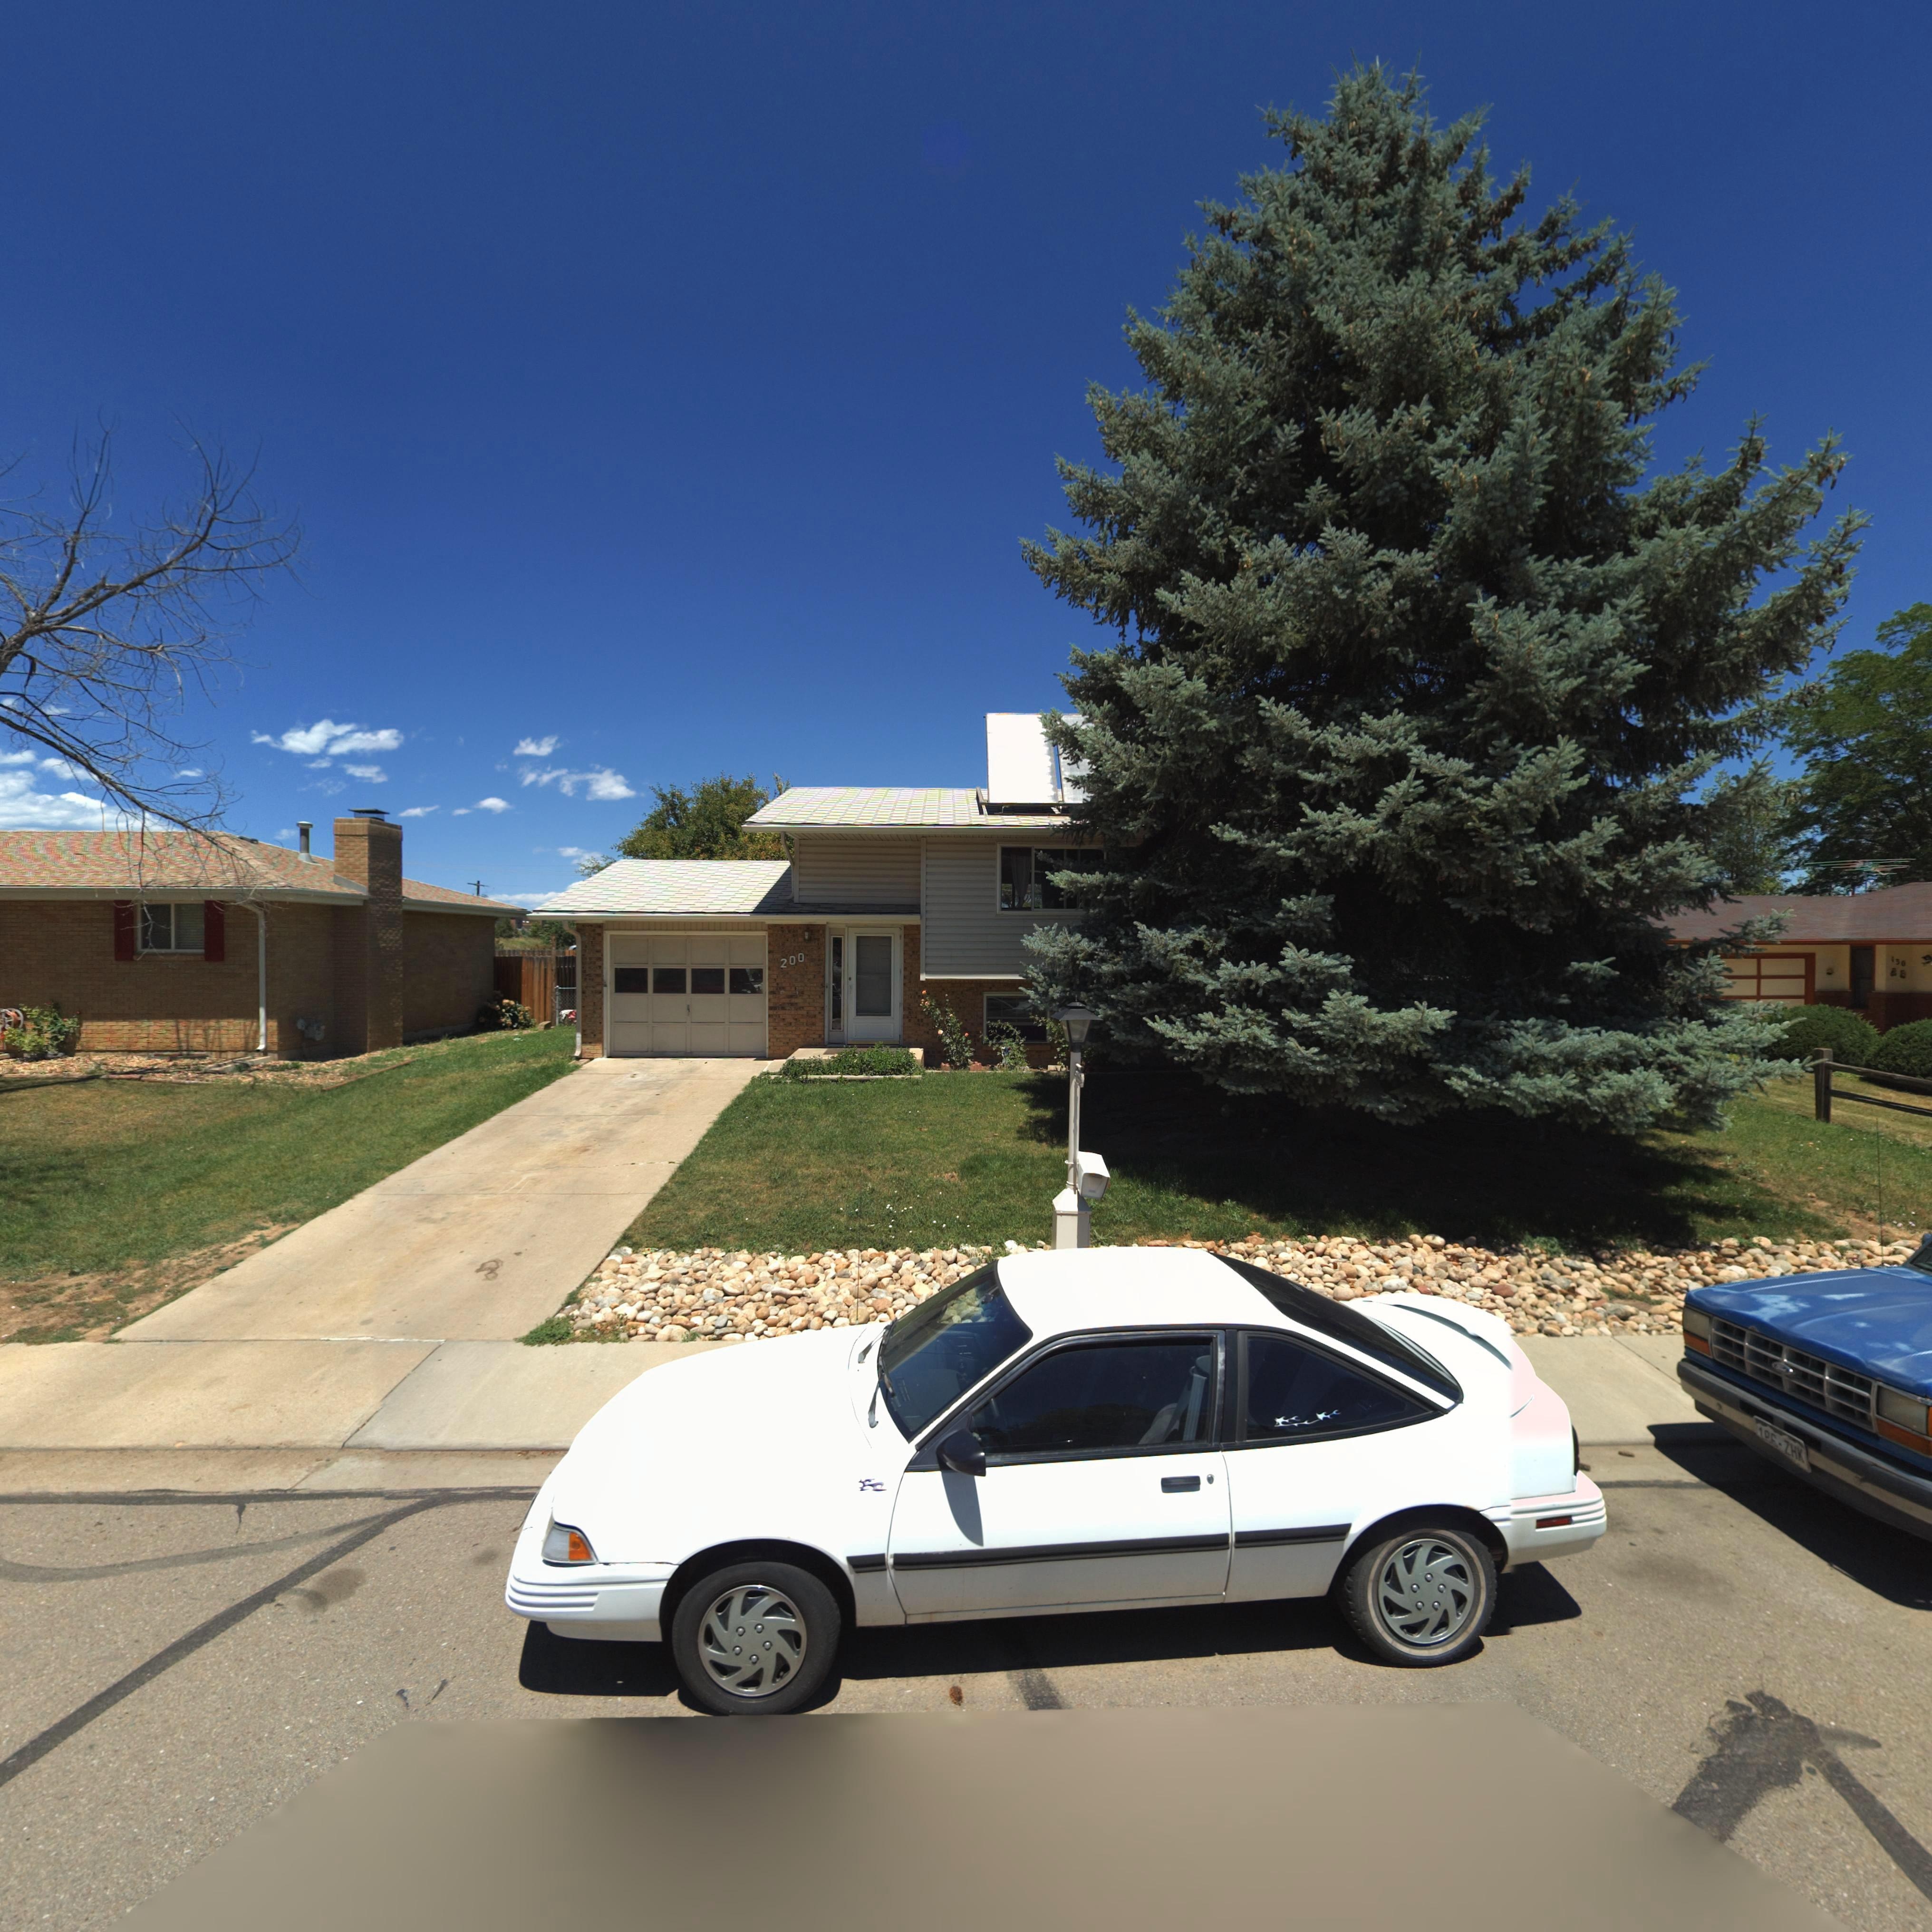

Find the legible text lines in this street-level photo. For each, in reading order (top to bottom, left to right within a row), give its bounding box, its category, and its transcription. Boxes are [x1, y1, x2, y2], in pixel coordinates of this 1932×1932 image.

[780, 952, 804, 968] StreetNumber: 200
[1891, 955, 1905, 967] StreetNumber: 130